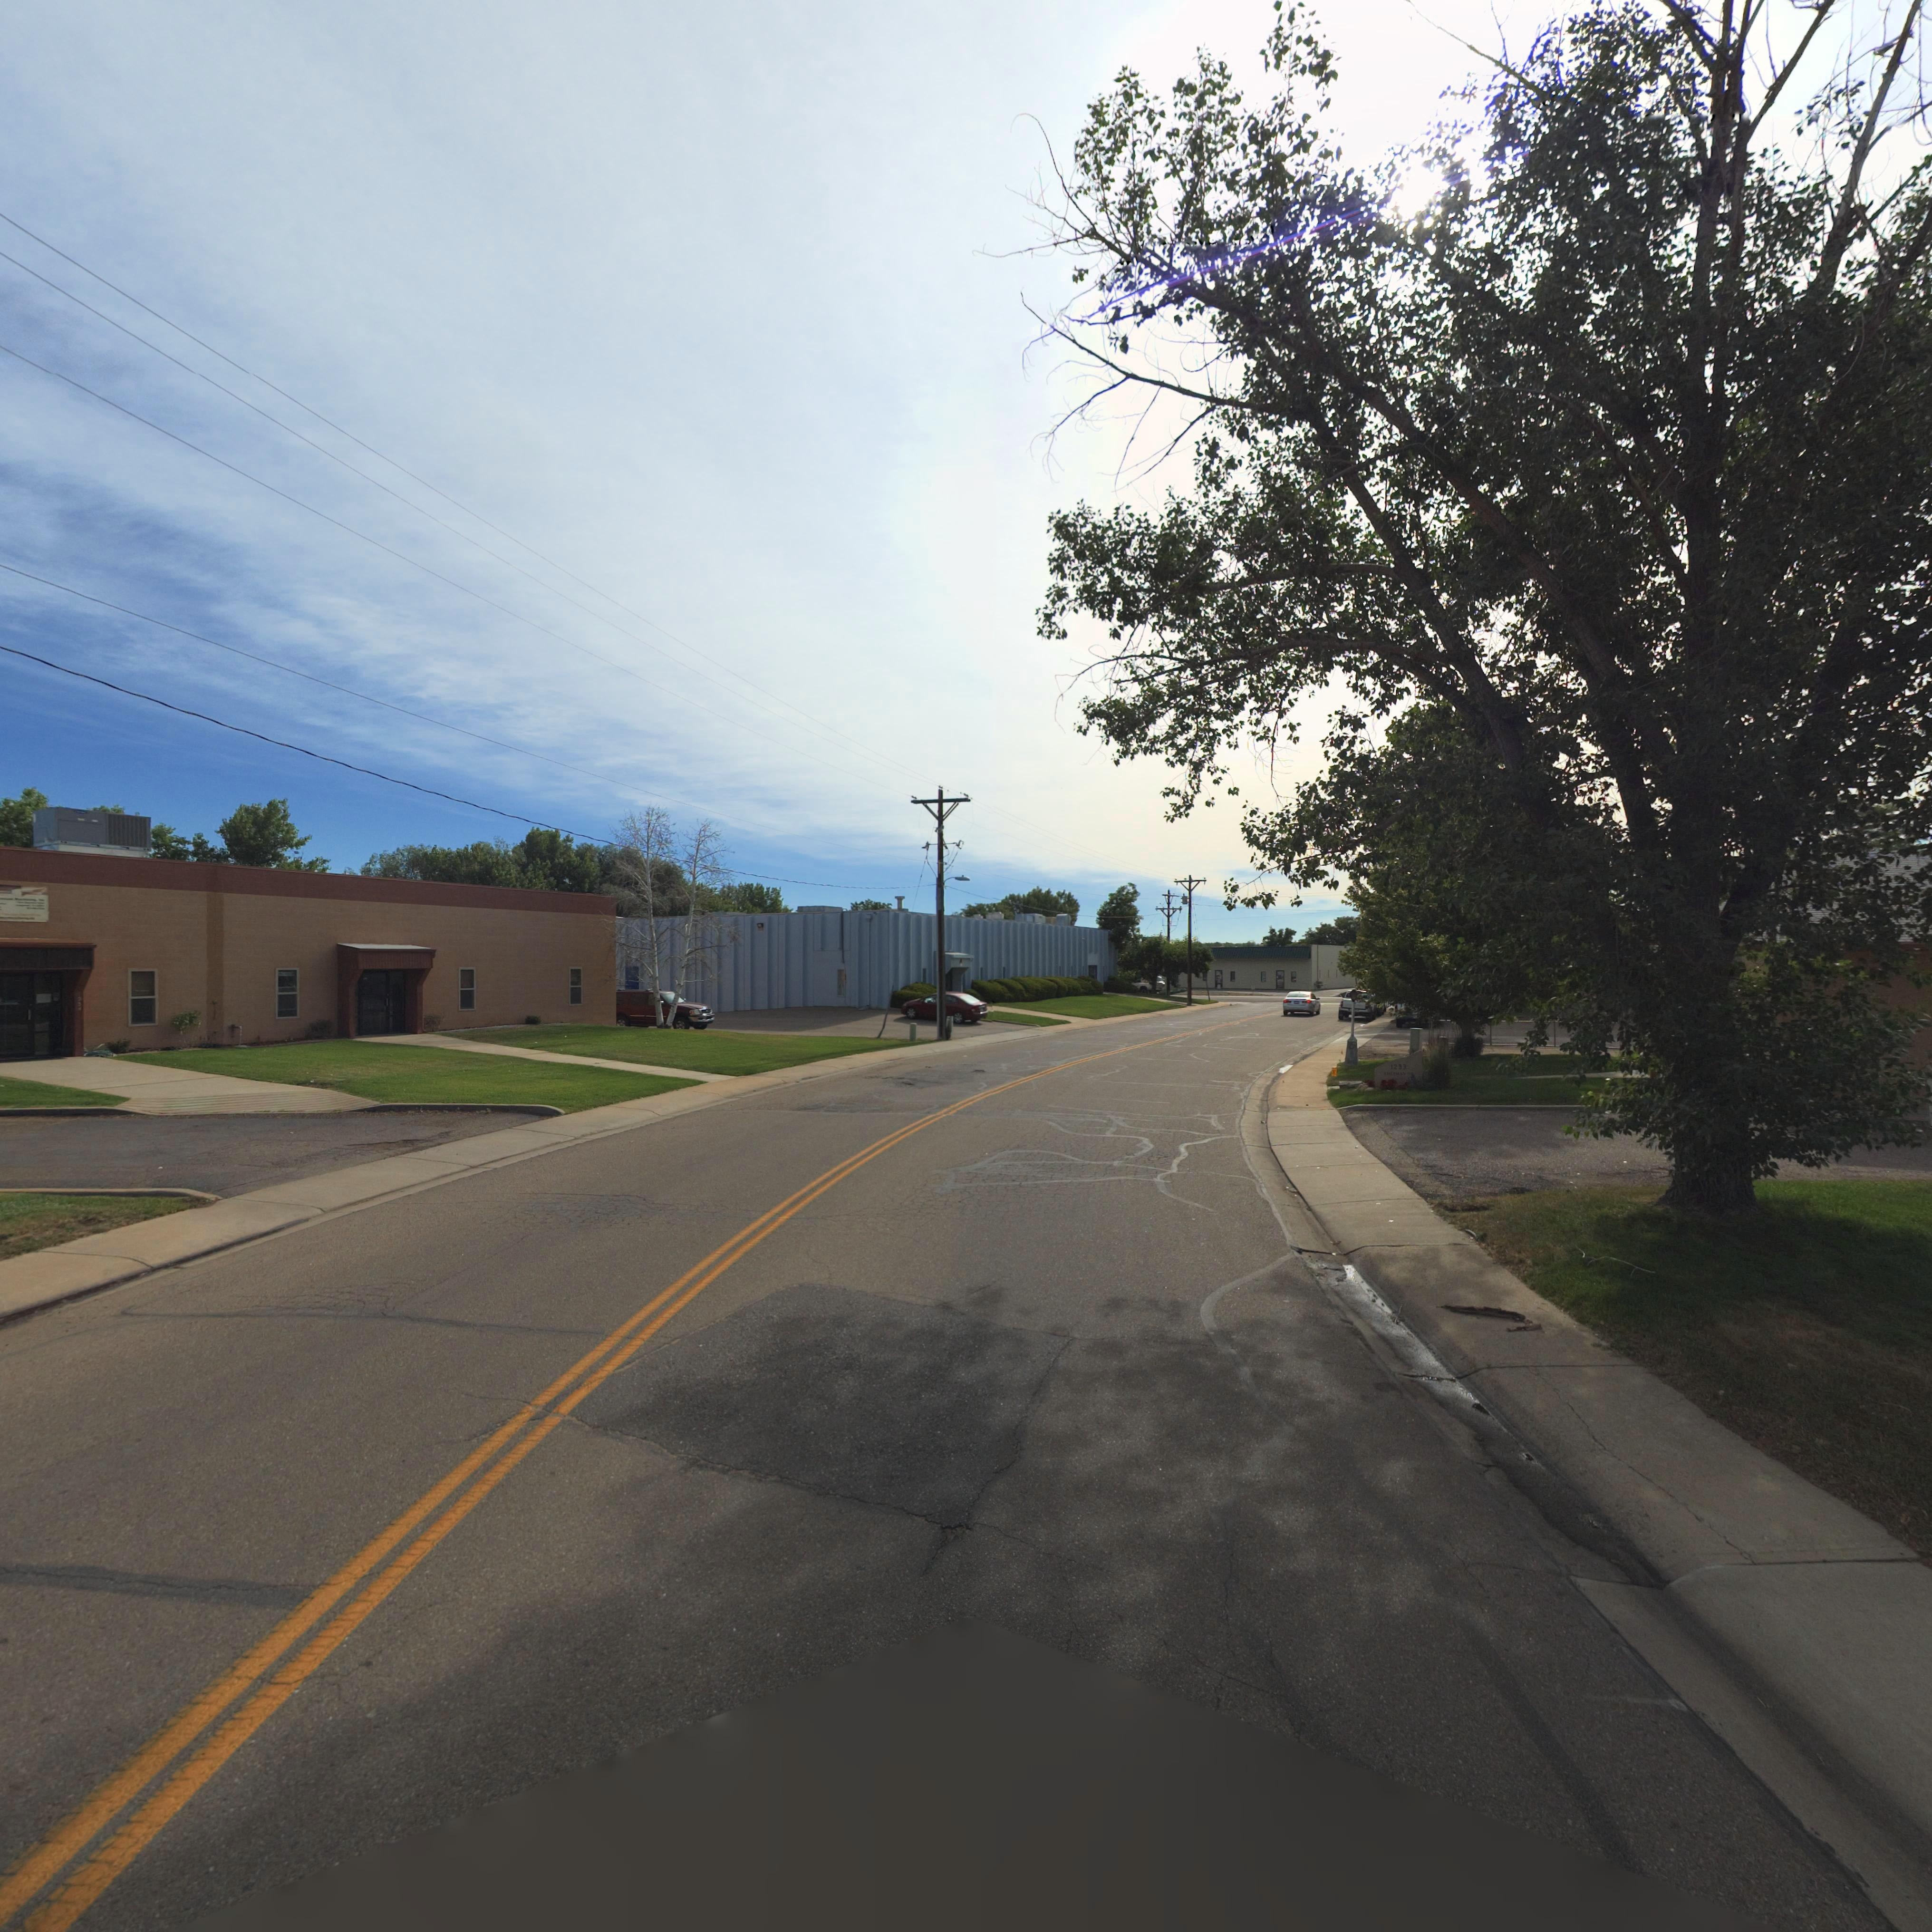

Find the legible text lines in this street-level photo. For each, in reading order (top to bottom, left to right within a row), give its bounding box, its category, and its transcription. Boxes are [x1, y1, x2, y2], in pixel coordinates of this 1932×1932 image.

[75, 996, 82, 1012] StreetNumber: 234
[1391, 1064, 1406, 1070] StreetNumber: 1233
[1383, 1071, 1411, 1076] StreetName: SHERMAN **